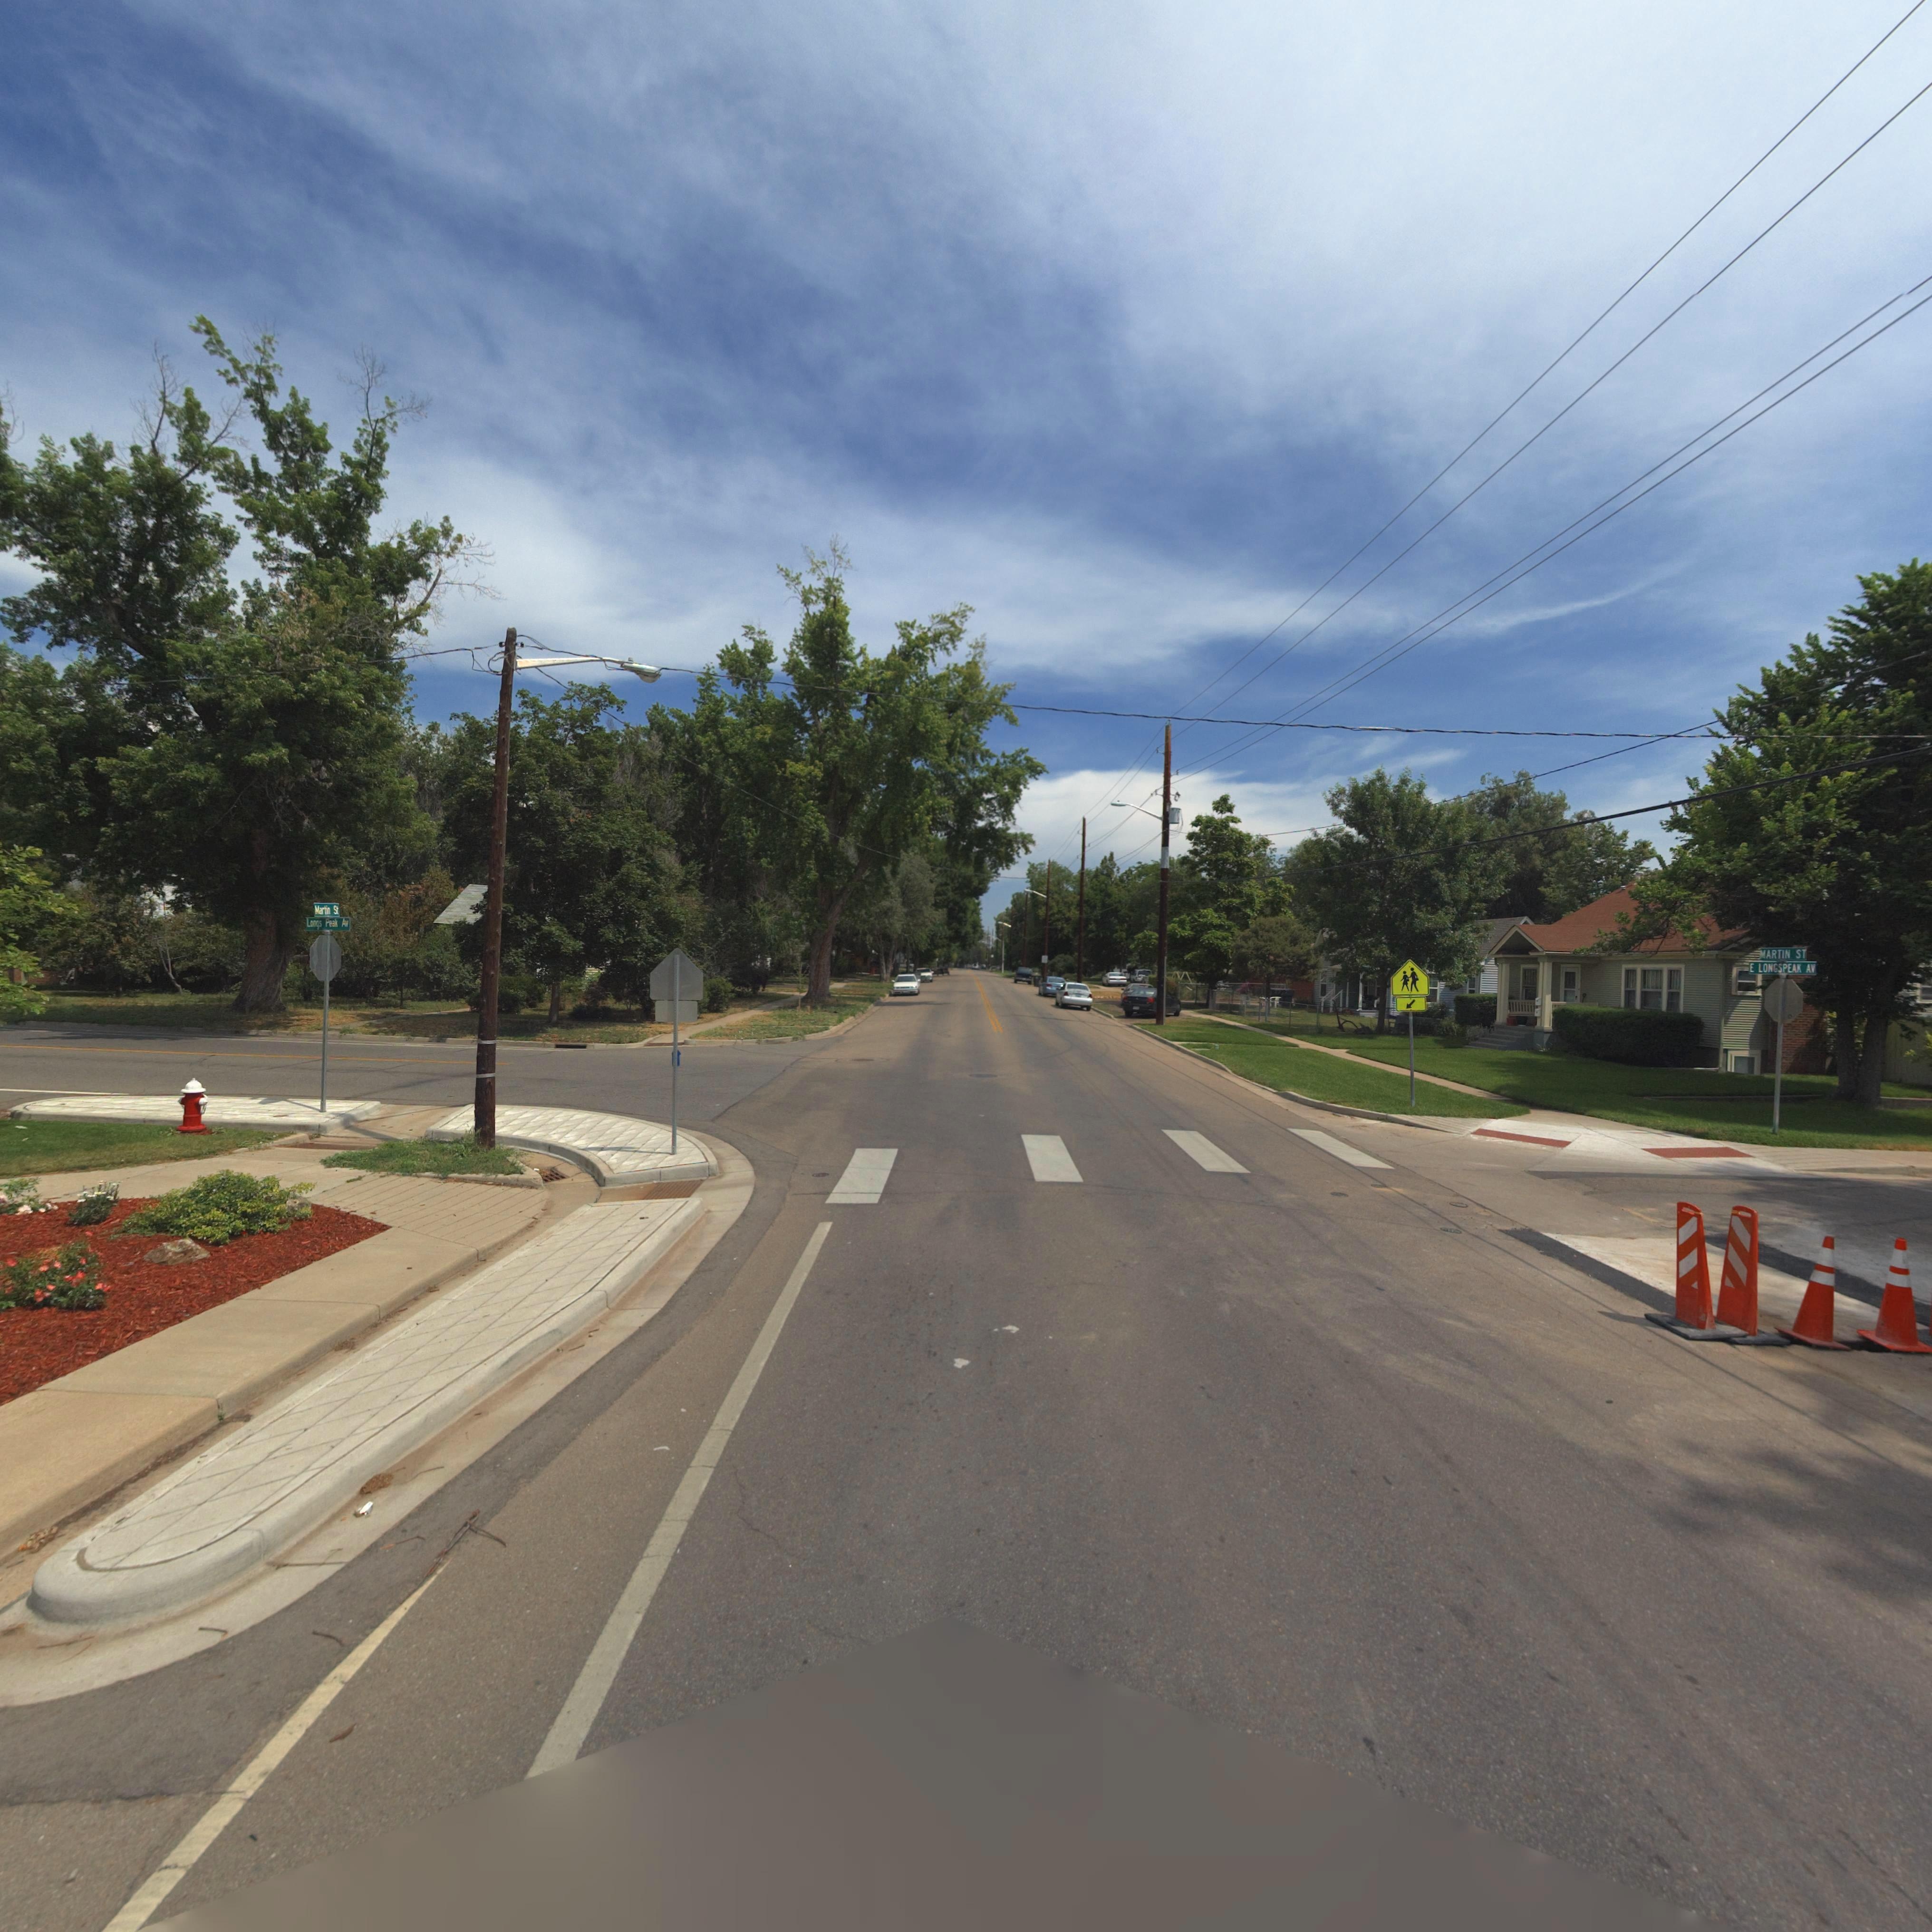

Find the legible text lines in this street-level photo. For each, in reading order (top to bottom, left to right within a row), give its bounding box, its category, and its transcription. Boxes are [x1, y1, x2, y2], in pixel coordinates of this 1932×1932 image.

[314, 905, 338, 915] StreetName: Martin St
[306, 918, 348, 930] StreetName: Longs Peak Av
[1760, 949, 1806, 958] StreetName: MARTIN ST
[1750, 963, 1815, 973] StreetName: E LONGSPEAK AV